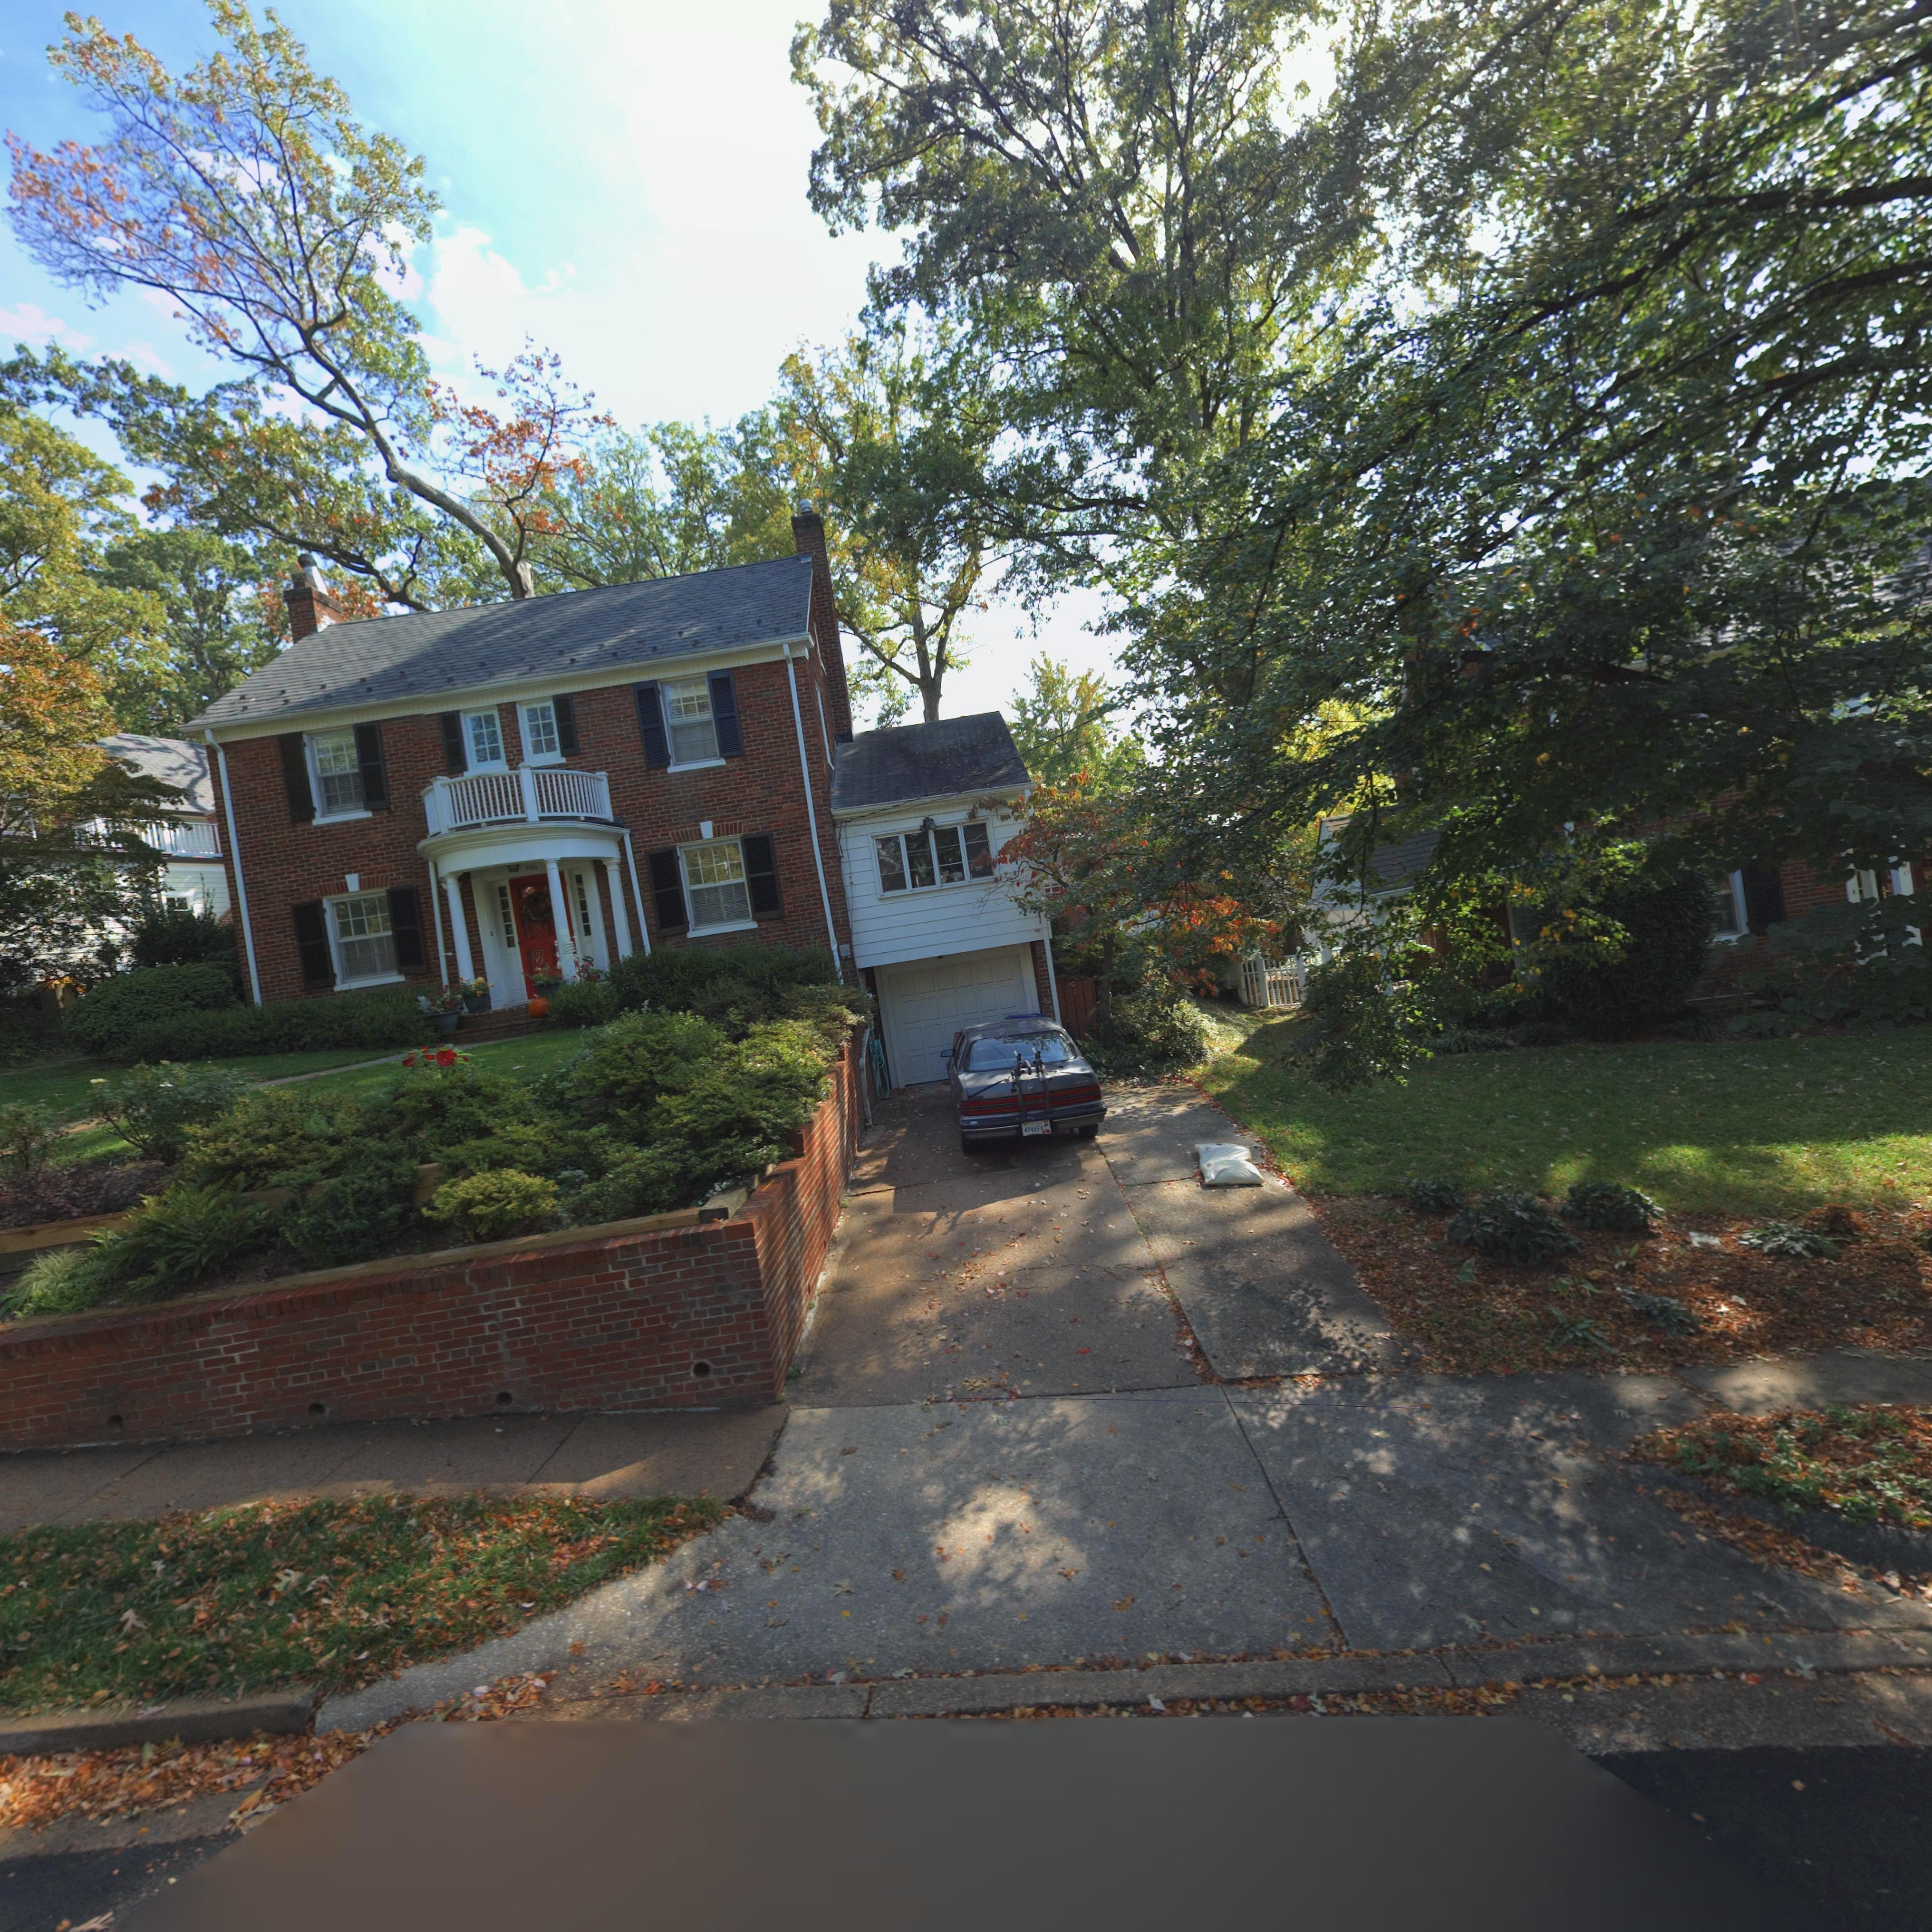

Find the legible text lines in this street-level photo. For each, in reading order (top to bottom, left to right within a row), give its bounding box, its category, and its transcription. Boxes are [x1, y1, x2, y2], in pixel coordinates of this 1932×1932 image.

[524, 863, 539, 873] StreetNumber: *180
[1023, 1123, 1042, 1135] None: 494AE